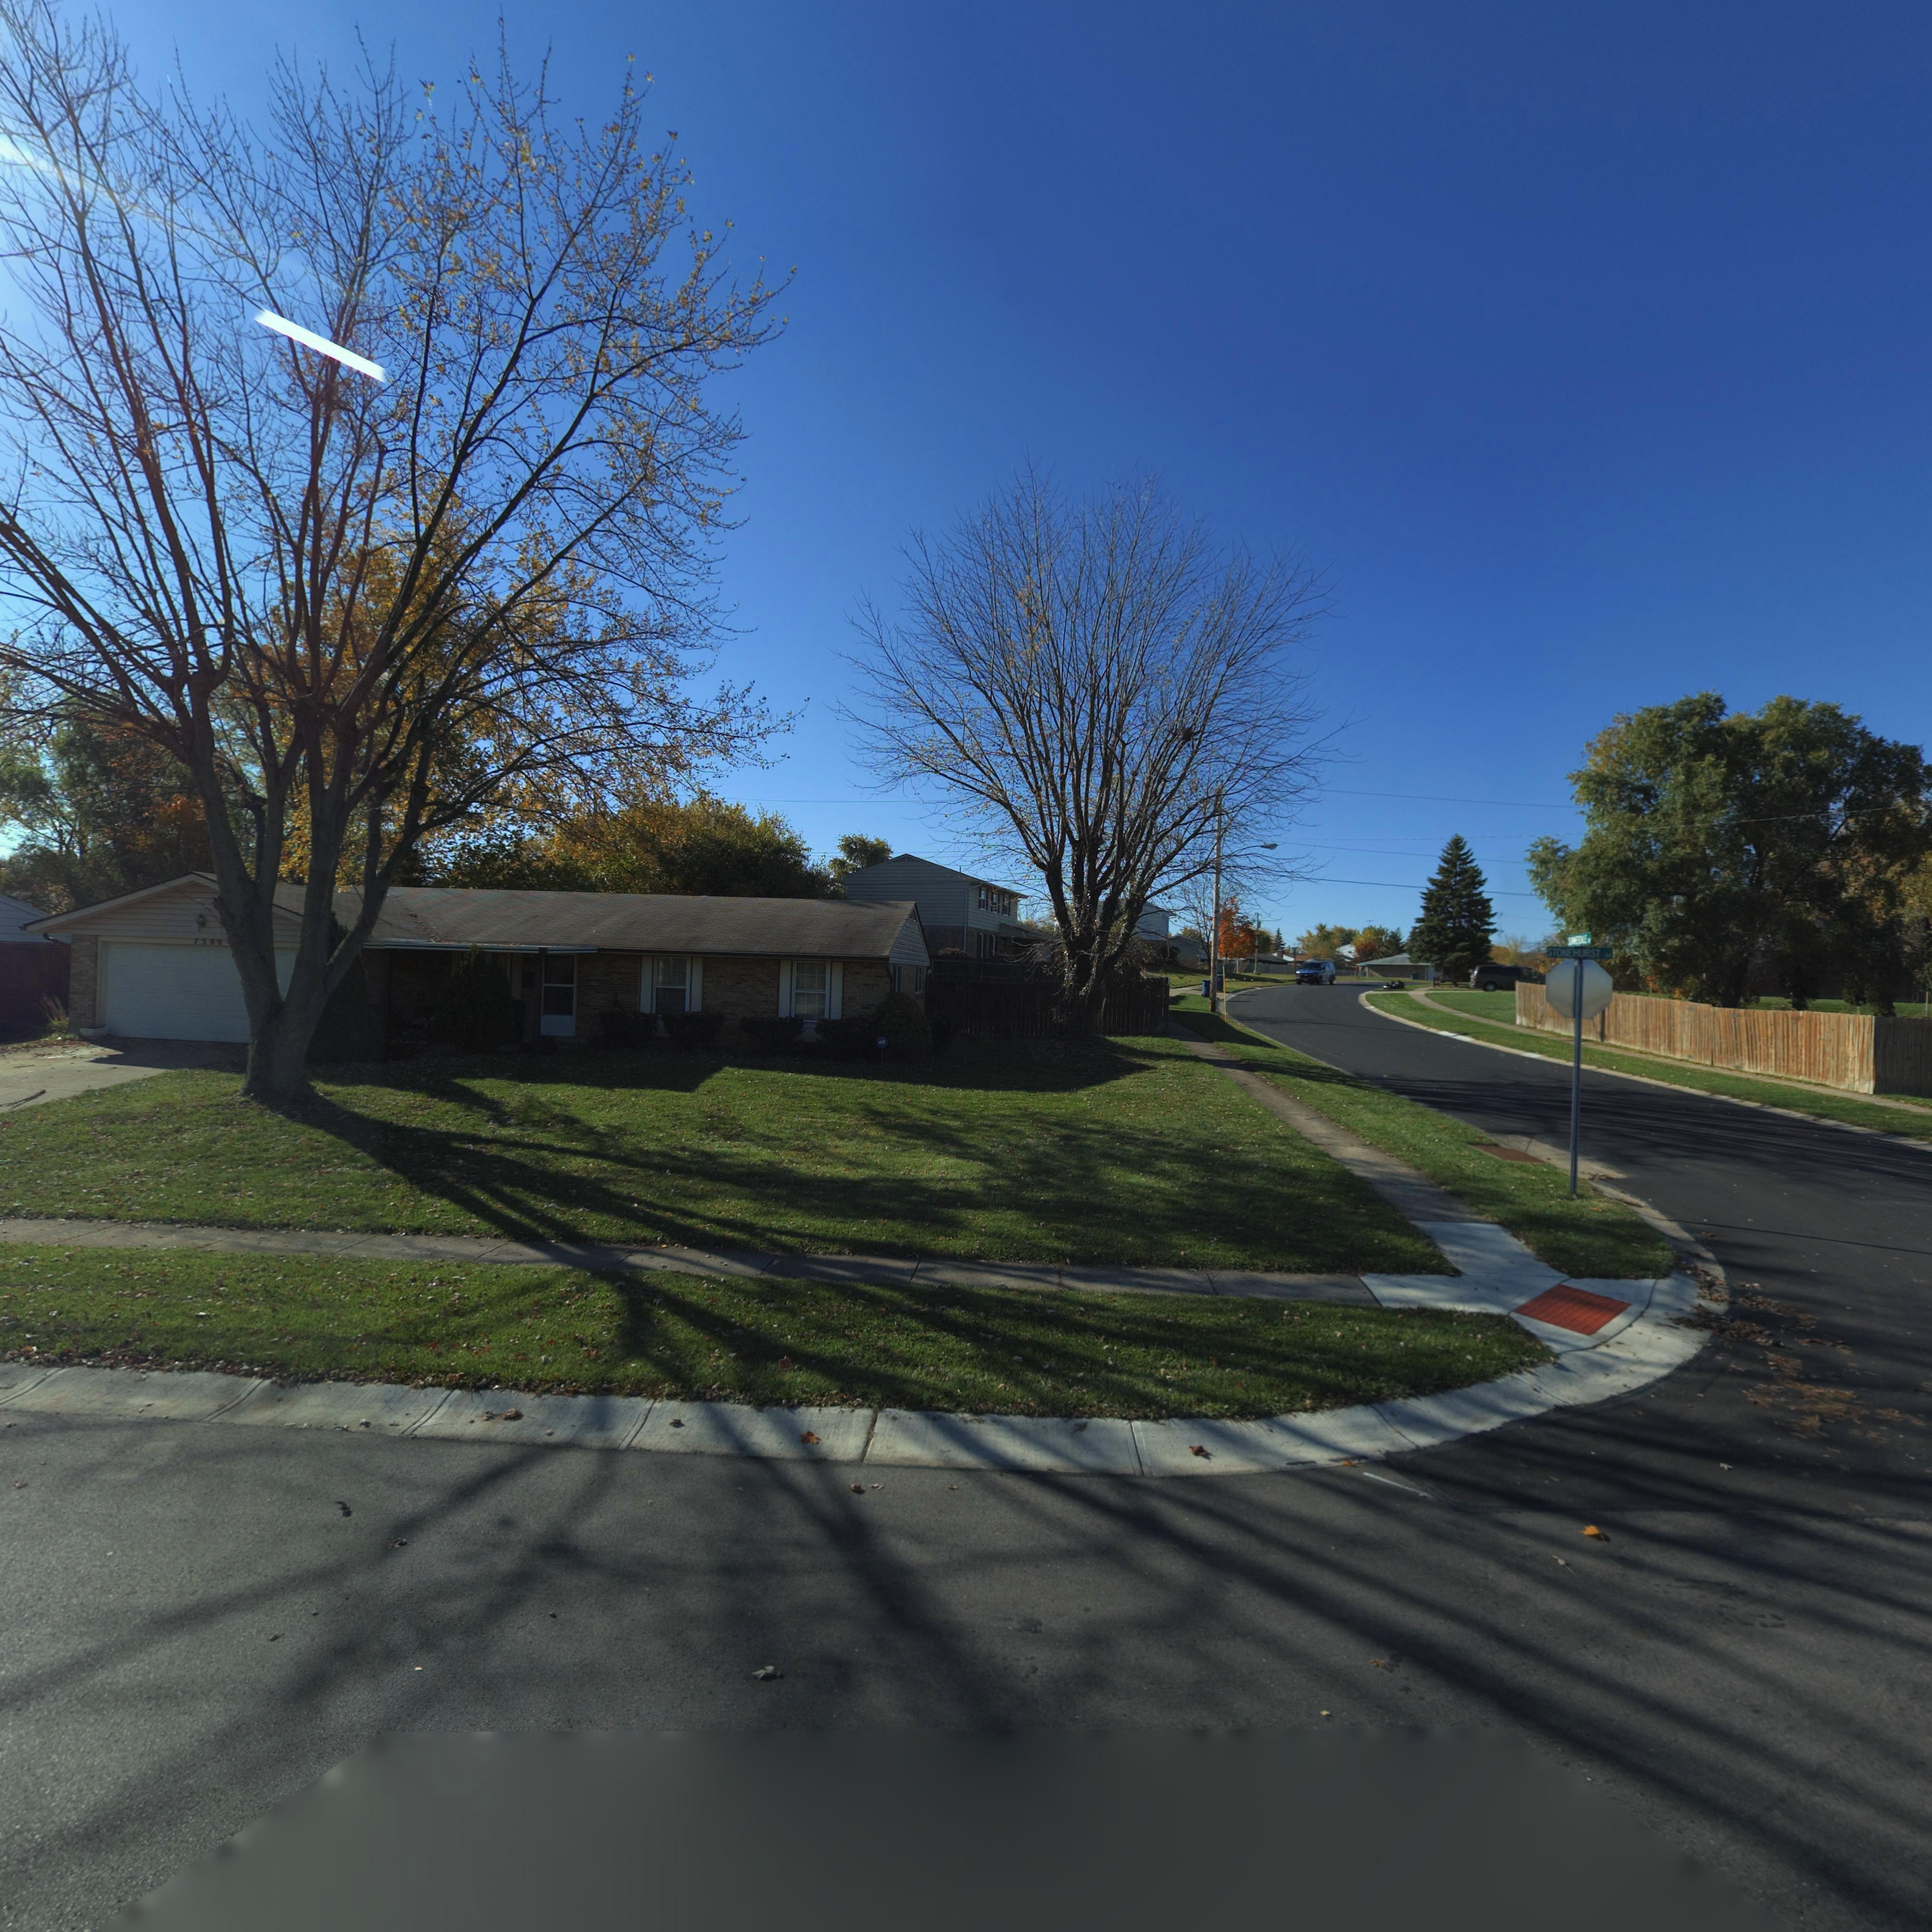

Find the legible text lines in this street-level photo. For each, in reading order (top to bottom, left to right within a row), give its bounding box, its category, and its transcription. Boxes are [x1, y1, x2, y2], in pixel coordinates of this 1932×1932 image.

[193, 937, 223, 946] StreetNumber: 7500
[1546, 947, 1603, 958] StreetName: STONEHURST